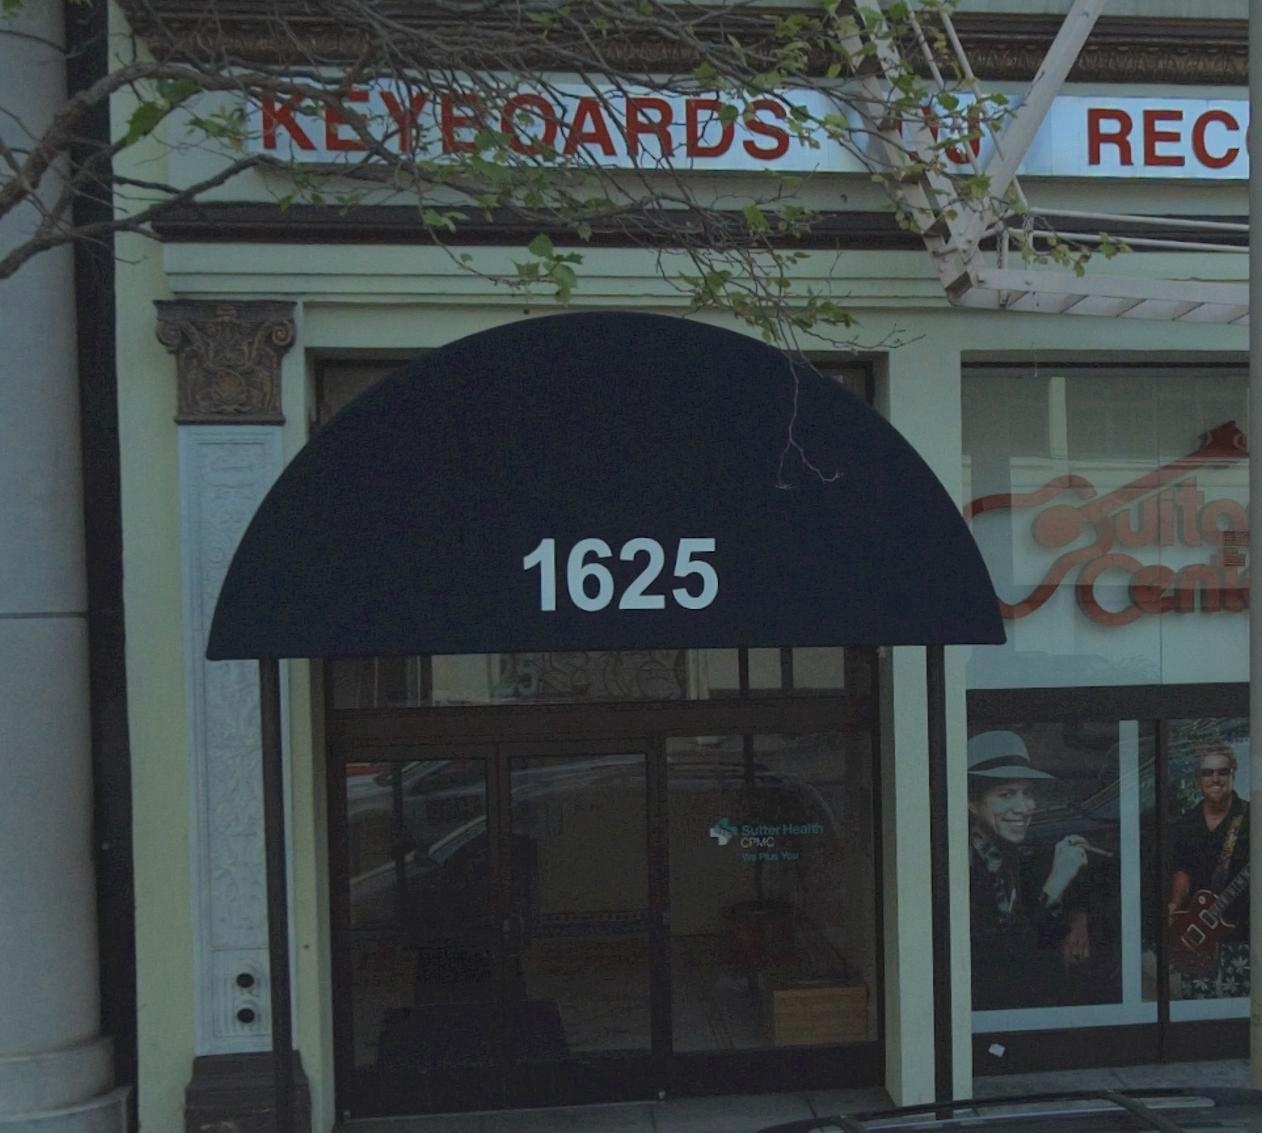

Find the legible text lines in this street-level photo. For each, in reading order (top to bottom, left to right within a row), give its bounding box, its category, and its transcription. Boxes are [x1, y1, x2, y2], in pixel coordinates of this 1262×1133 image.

[1084, 105, 1243, 171] None: REC
[1108, 467, 1252, 551] BusinessName: uita
[521, 533, 722, 615] StreetNumber: 1625
[1068, 526, 1250, 632] BusinessName: Cent
[737, 834, 778, 851] None: CPMC
[740, 848, 802, 865] None: We **** You
[739, 819, 826, 838] None: Sutter Health